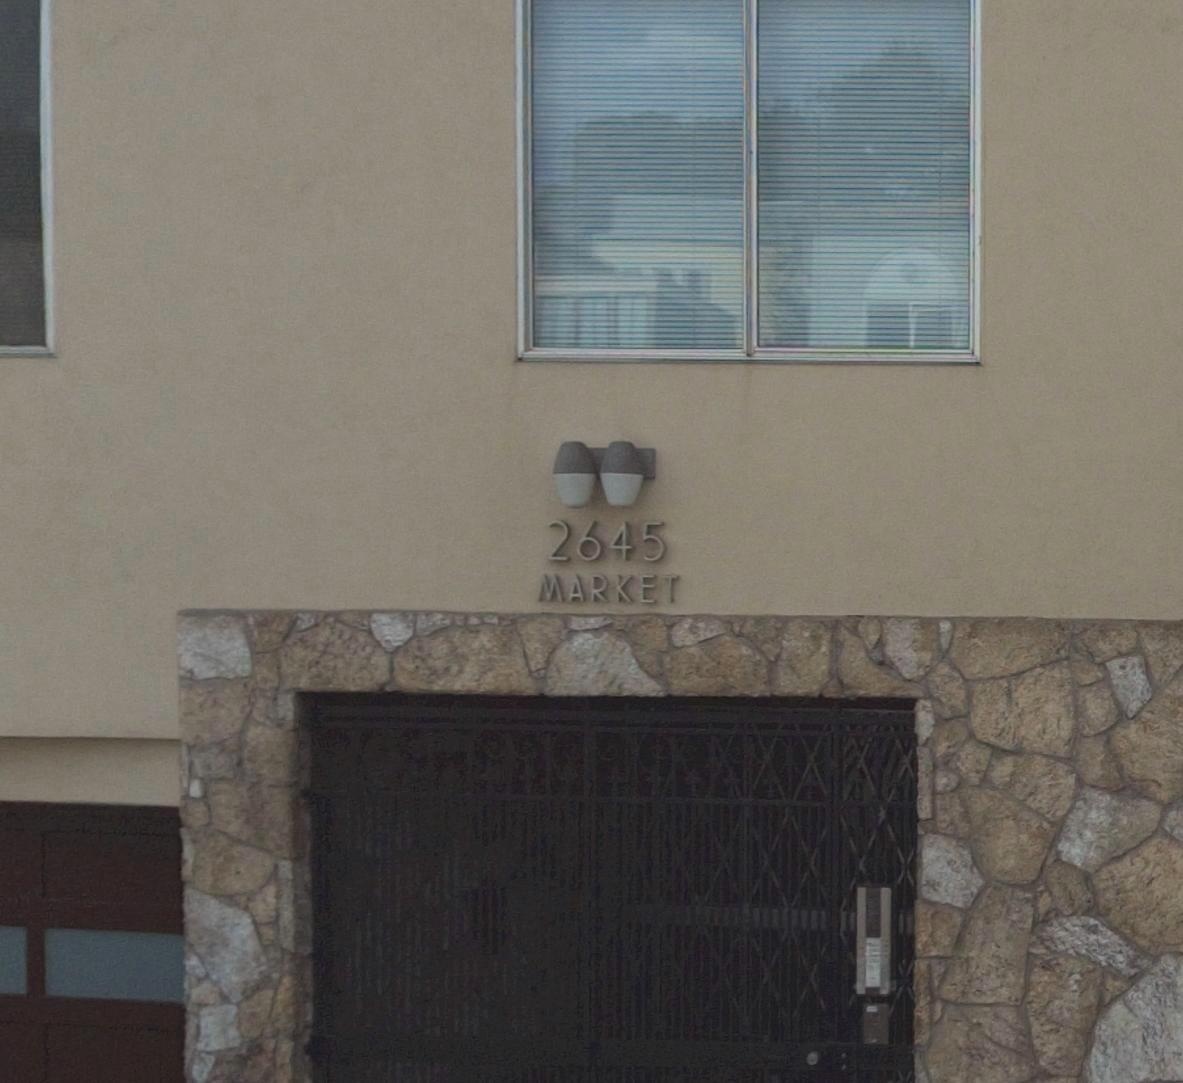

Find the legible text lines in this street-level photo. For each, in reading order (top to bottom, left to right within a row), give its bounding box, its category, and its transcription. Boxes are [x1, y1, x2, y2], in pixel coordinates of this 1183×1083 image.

[546, 518, 668, 563] StreetNumber: 2645
[531, 570, 682, 607] StreetName: MARKET